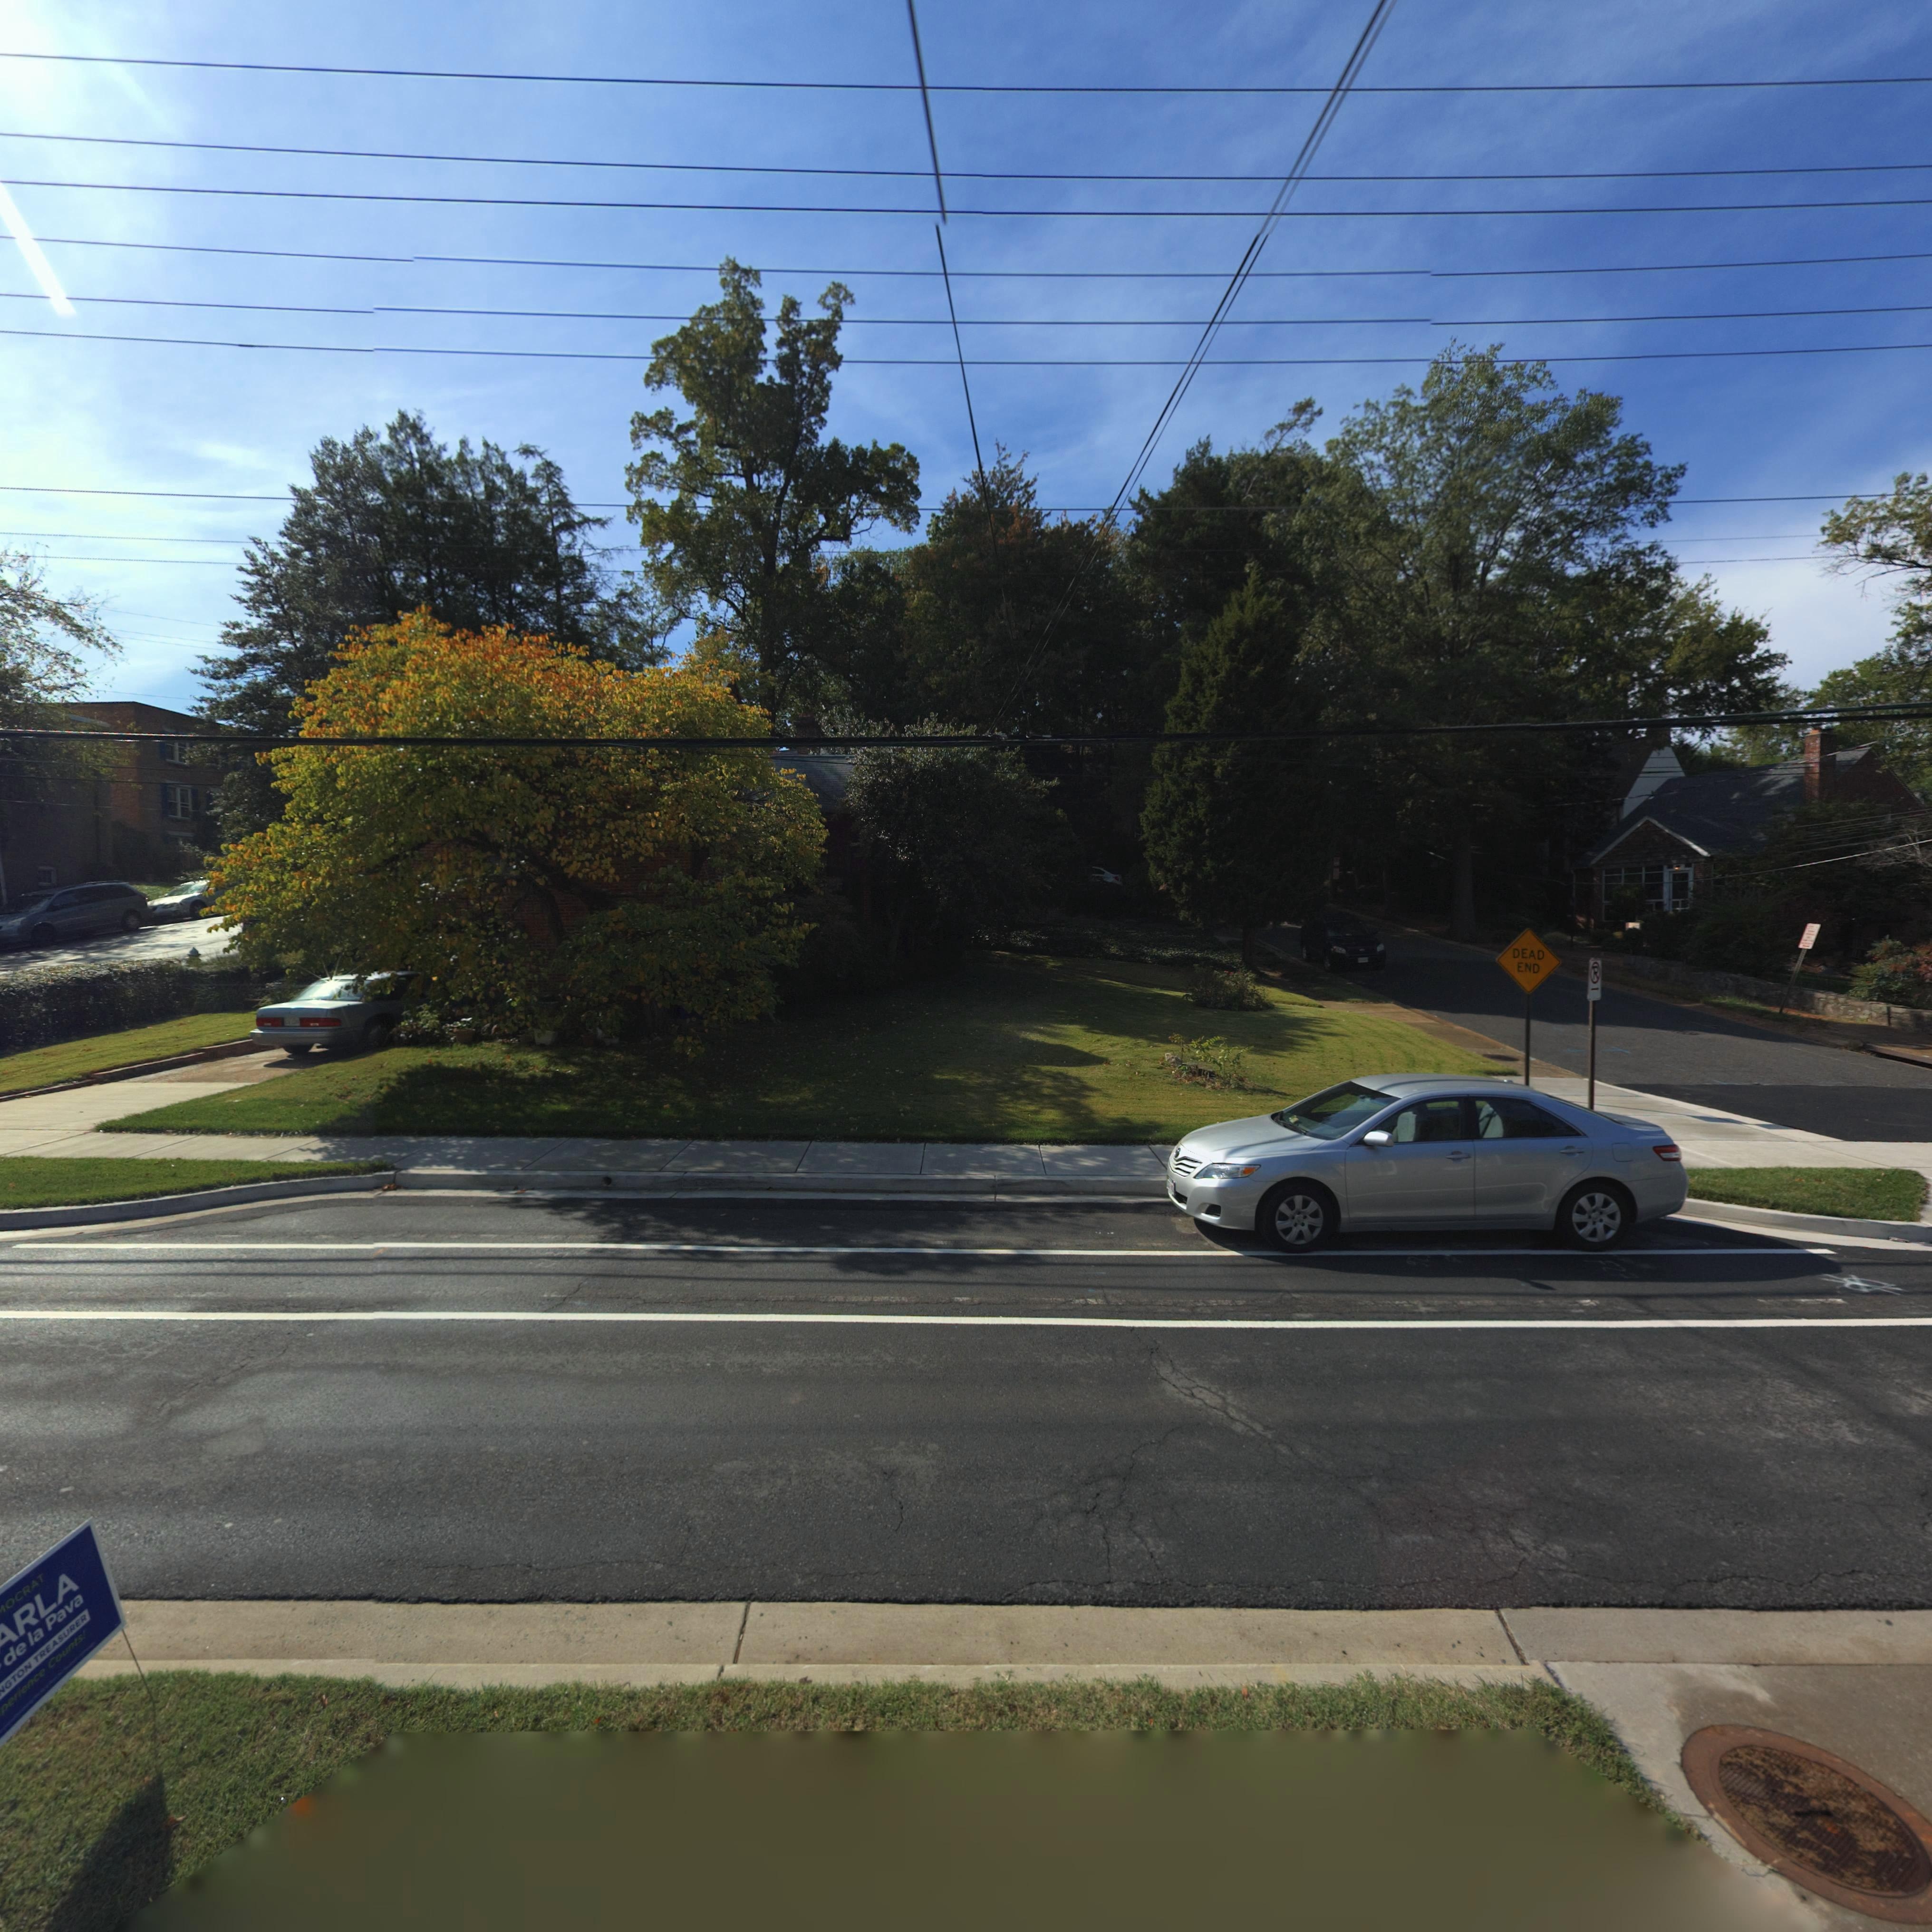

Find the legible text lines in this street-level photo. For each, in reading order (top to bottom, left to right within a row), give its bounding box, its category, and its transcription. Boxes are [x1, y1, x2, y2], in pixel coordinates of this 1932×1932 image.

[1517, 961, 1540, 974] None: END
[1512, 948, 1546, 960] None: DEAD
[2, 1571, 45, 1611] None: OCRAT
[0, 1627, 87, 1718] None: perience Counts!
[3, 1594, 85, 1666] None: de la Pava
[4, 1613, 88, 1690] None: GTON TREASURER
[11, 1572, 82, 1638] None: RLA